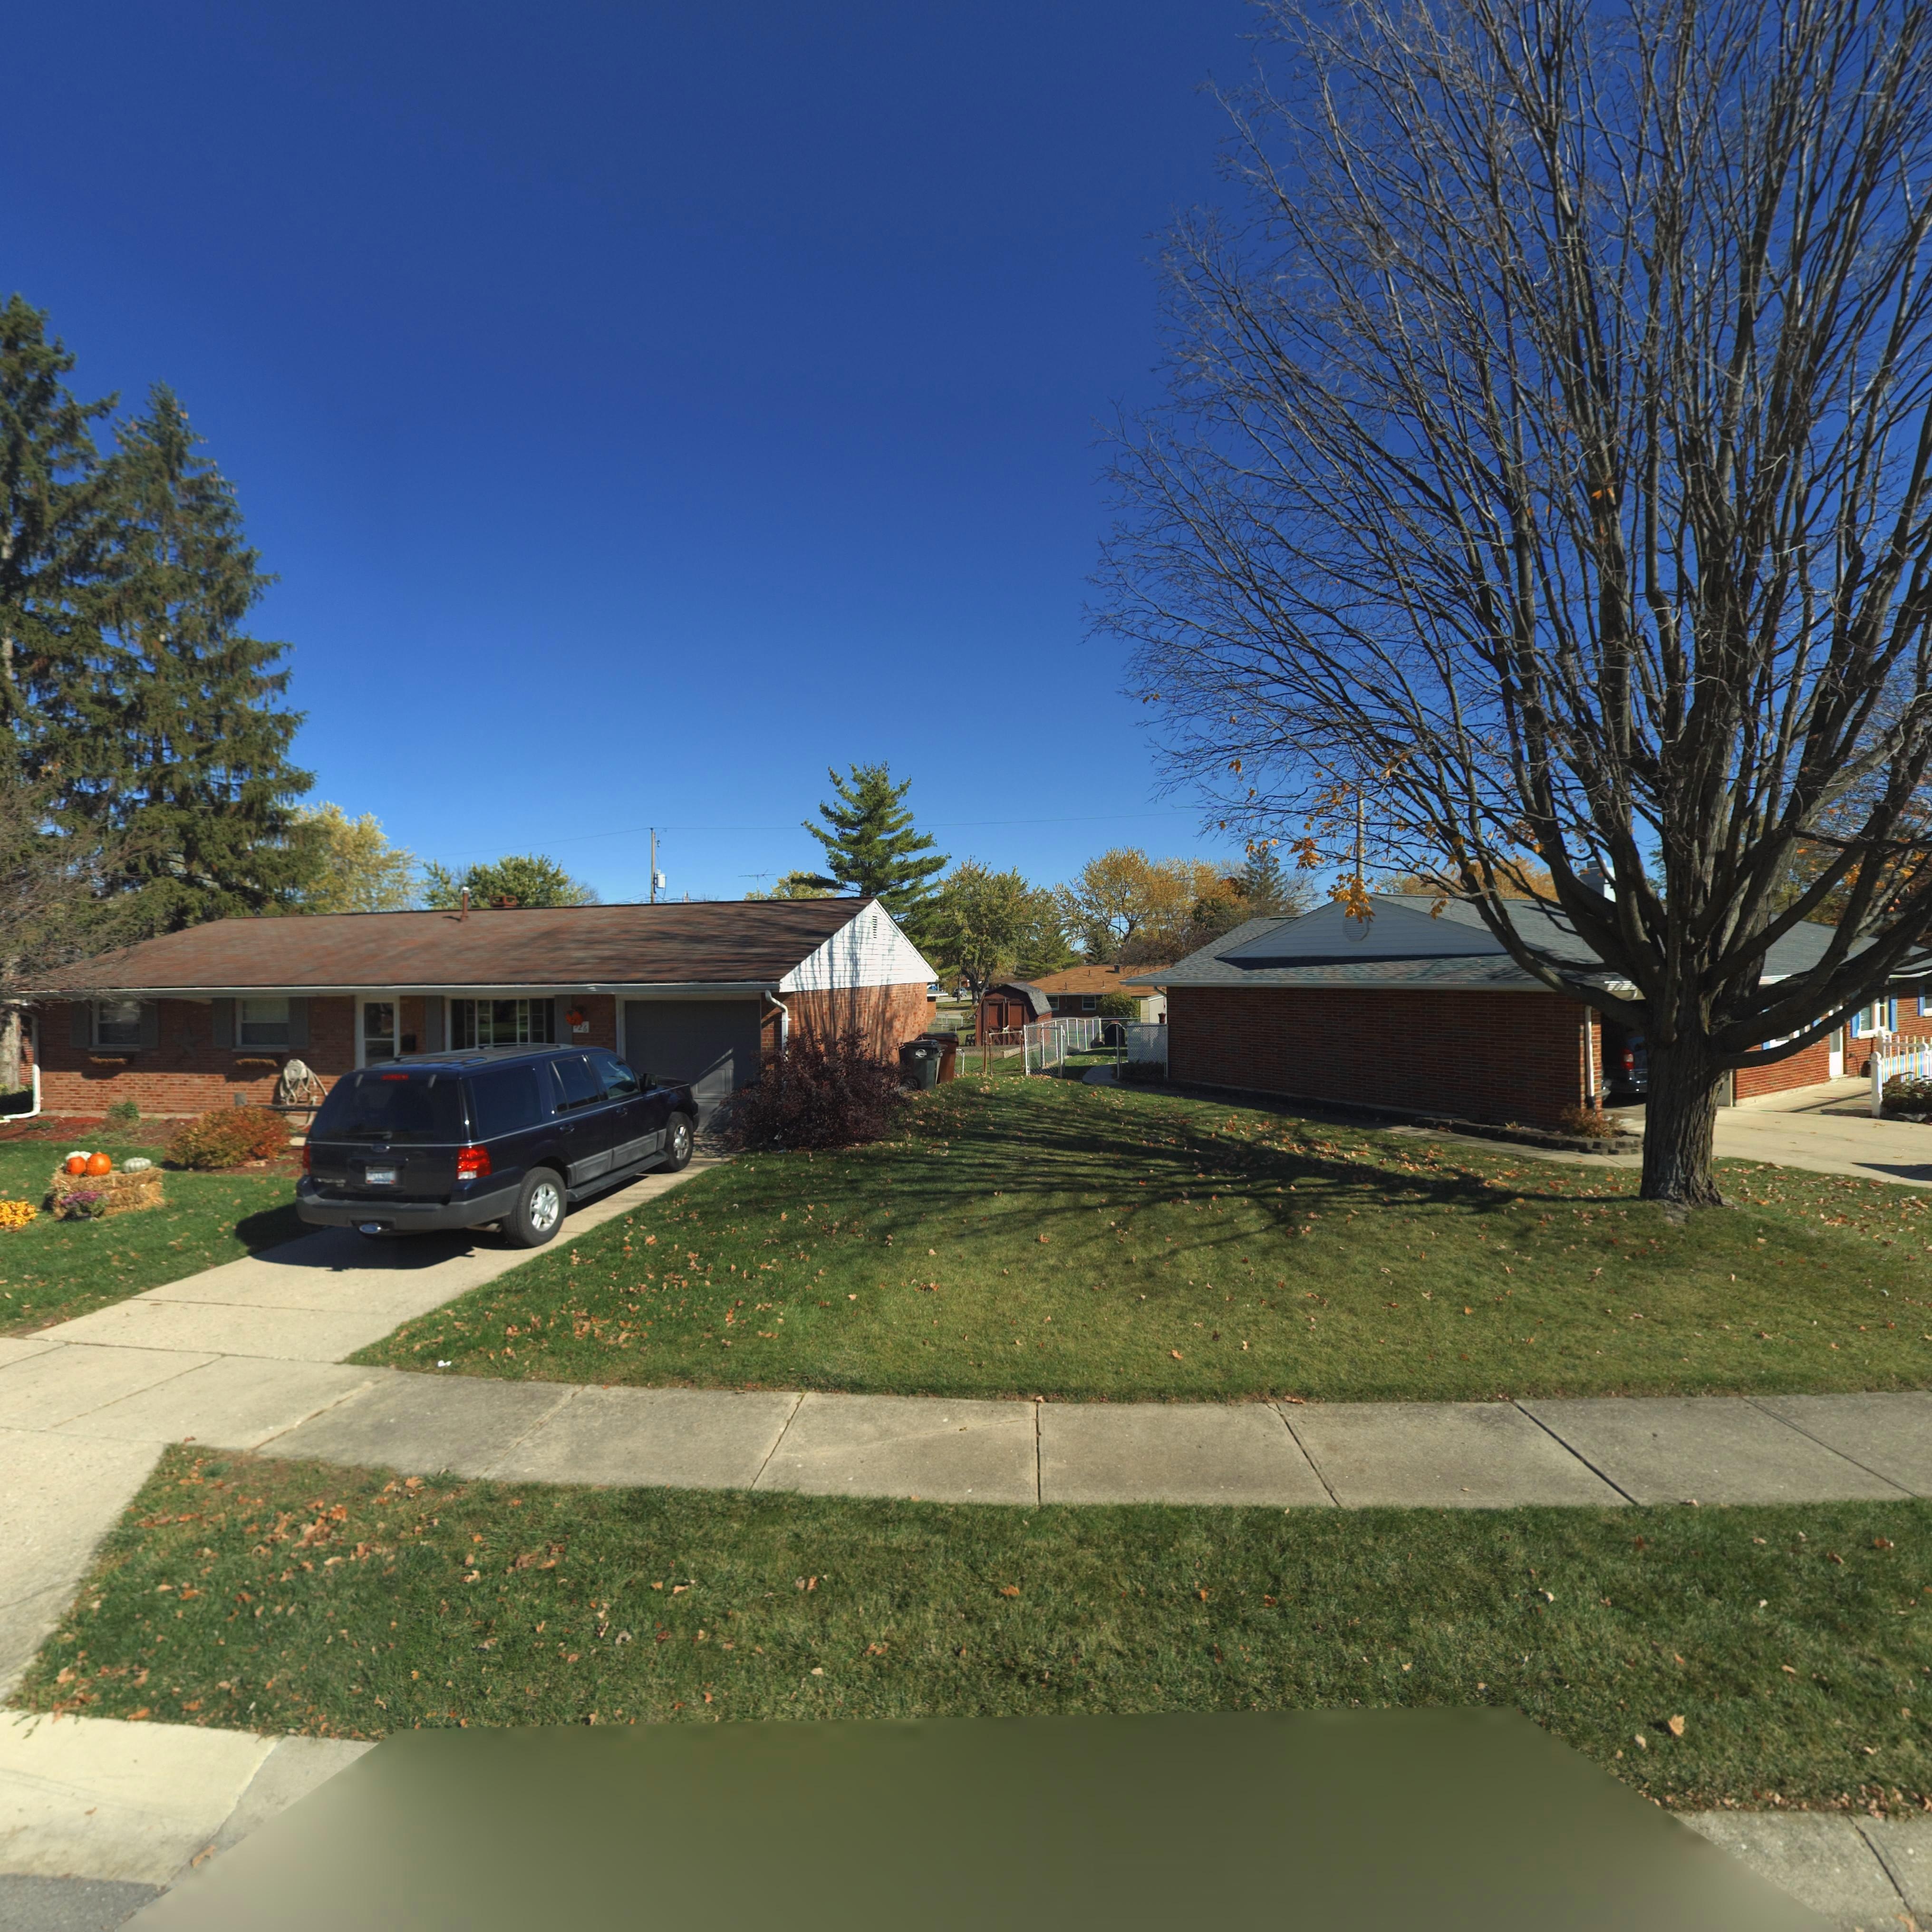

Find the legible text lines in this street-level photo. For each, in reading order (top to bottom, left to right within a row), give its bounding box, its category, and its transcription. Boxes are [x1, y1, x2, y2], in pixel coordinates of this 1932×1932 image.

[576, 1023, 588, 1034] StreetNumber: 26